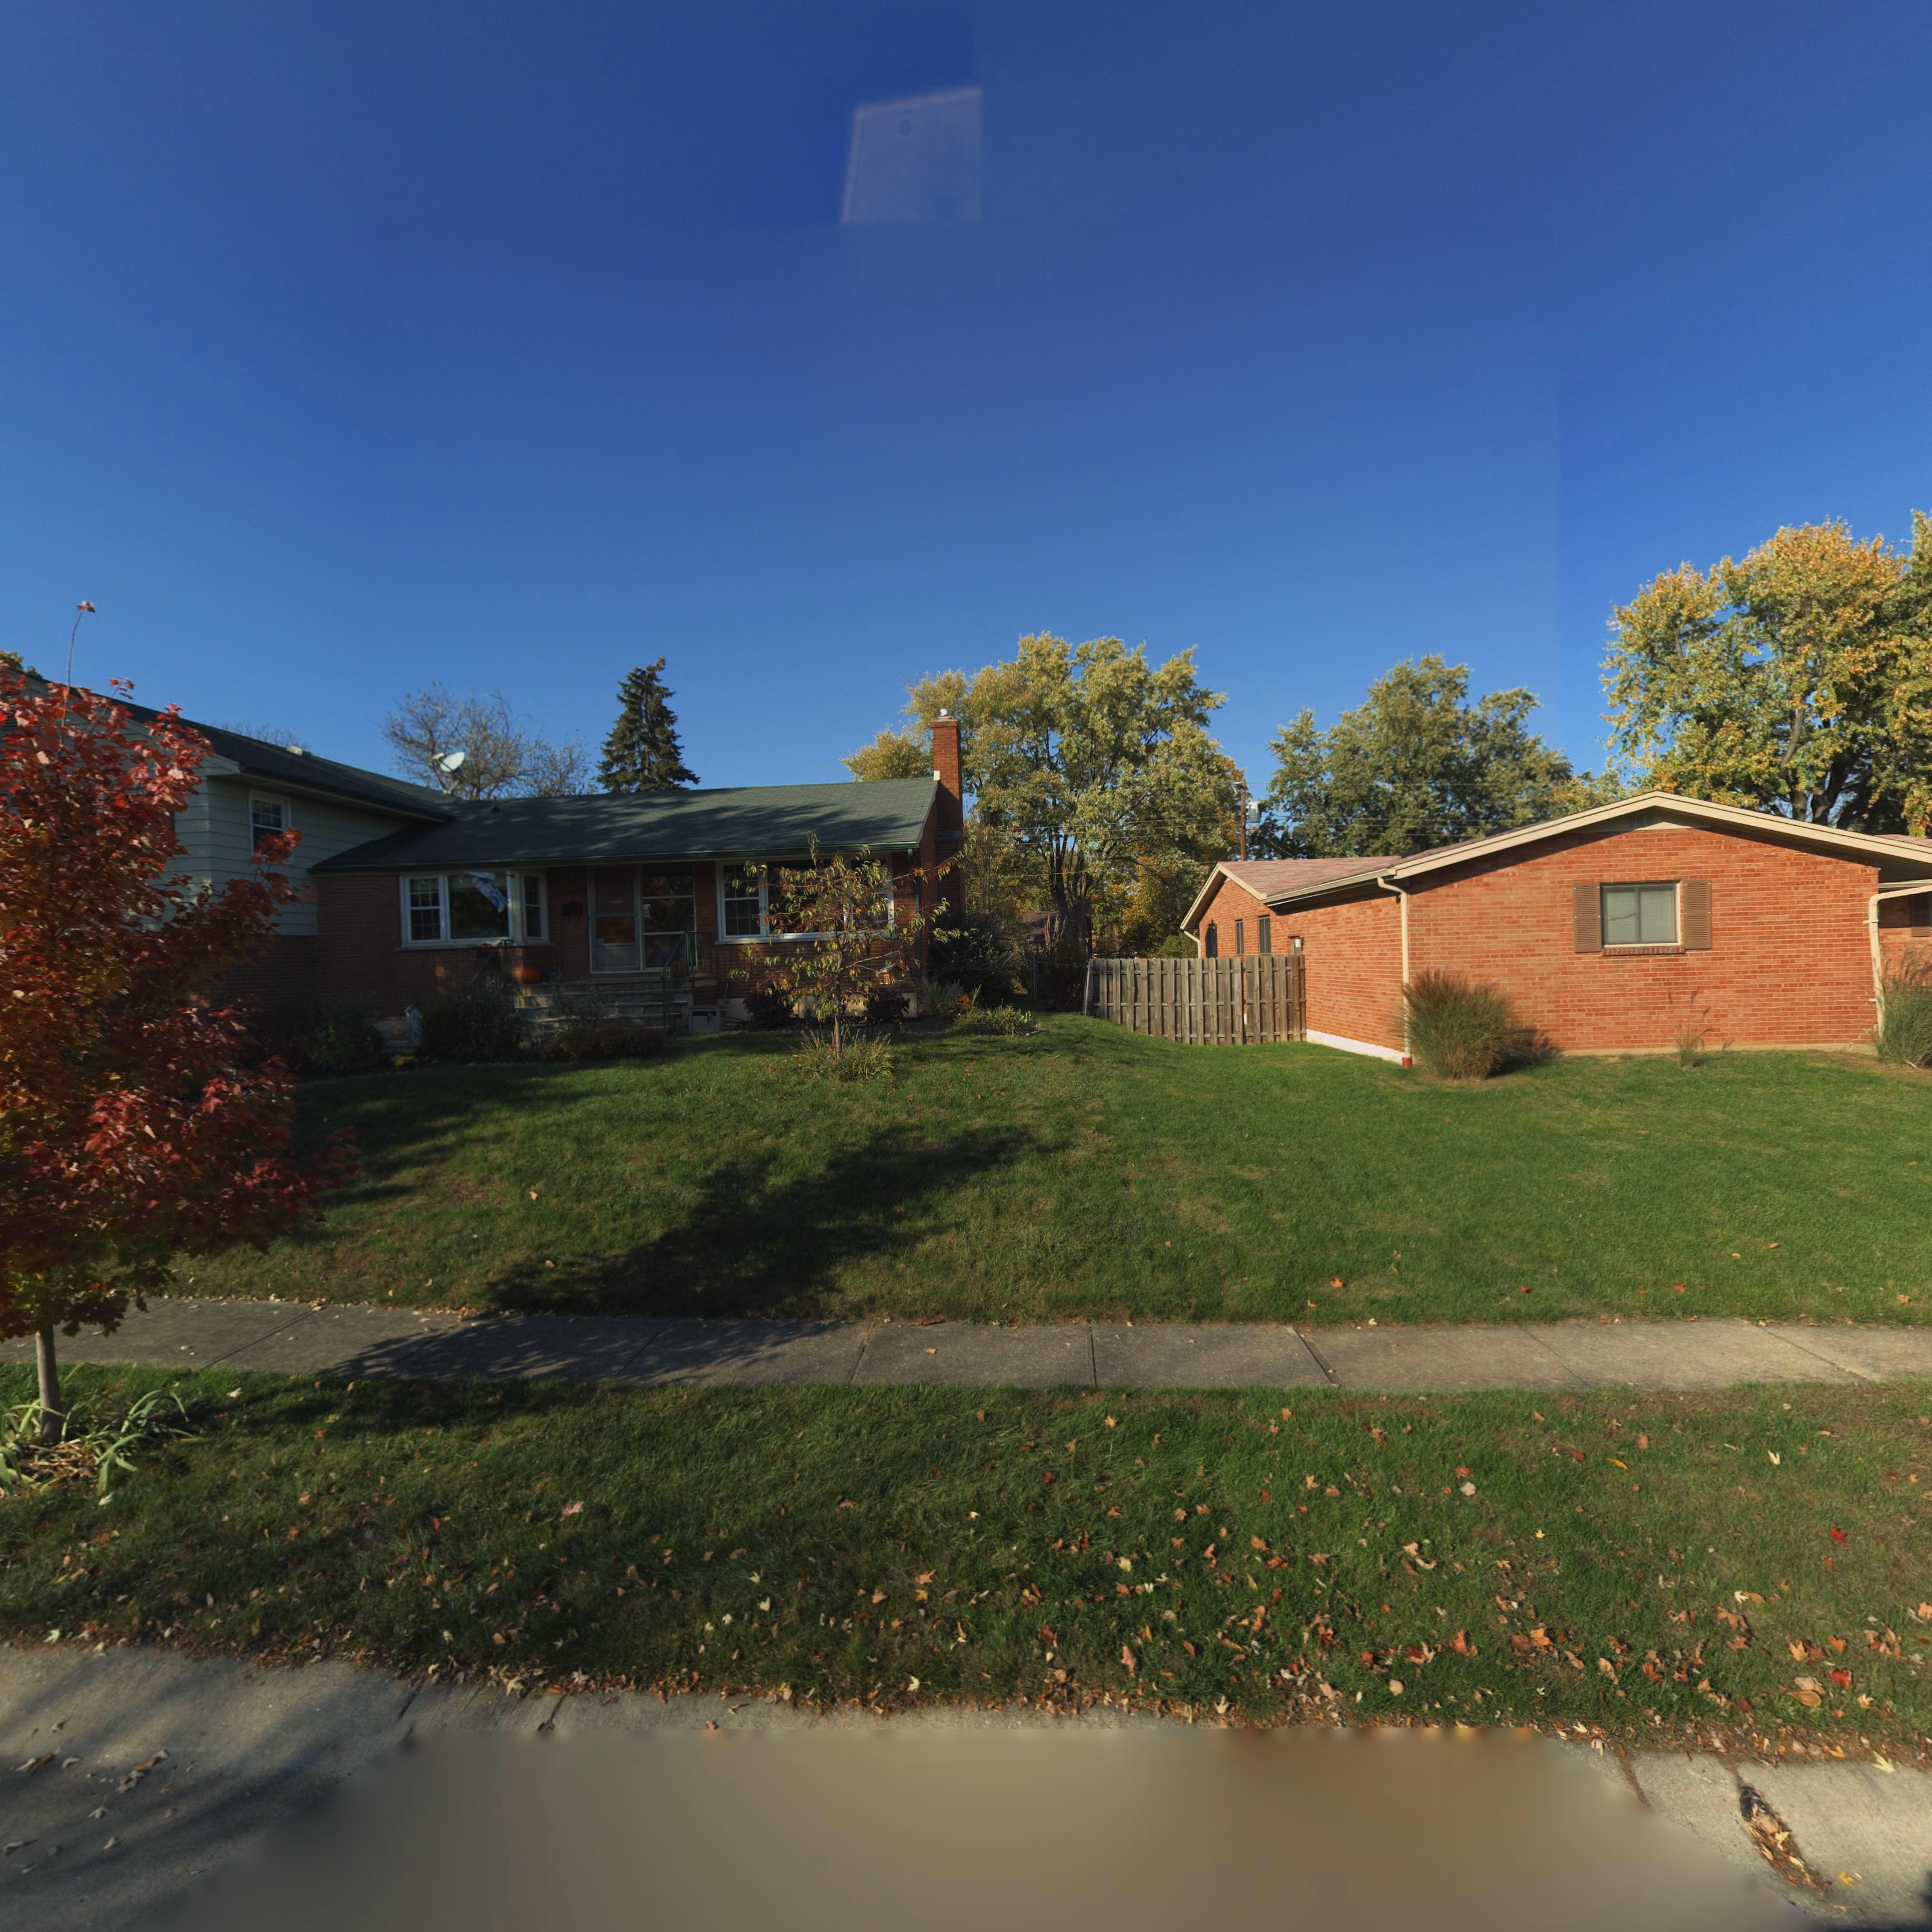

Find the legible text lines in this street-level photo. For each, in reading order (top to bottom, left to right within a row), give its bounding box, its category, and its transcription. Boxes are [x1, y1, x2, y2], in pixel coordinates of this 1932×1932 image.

[566, 889, 580, 895] StreetNumber: *2*